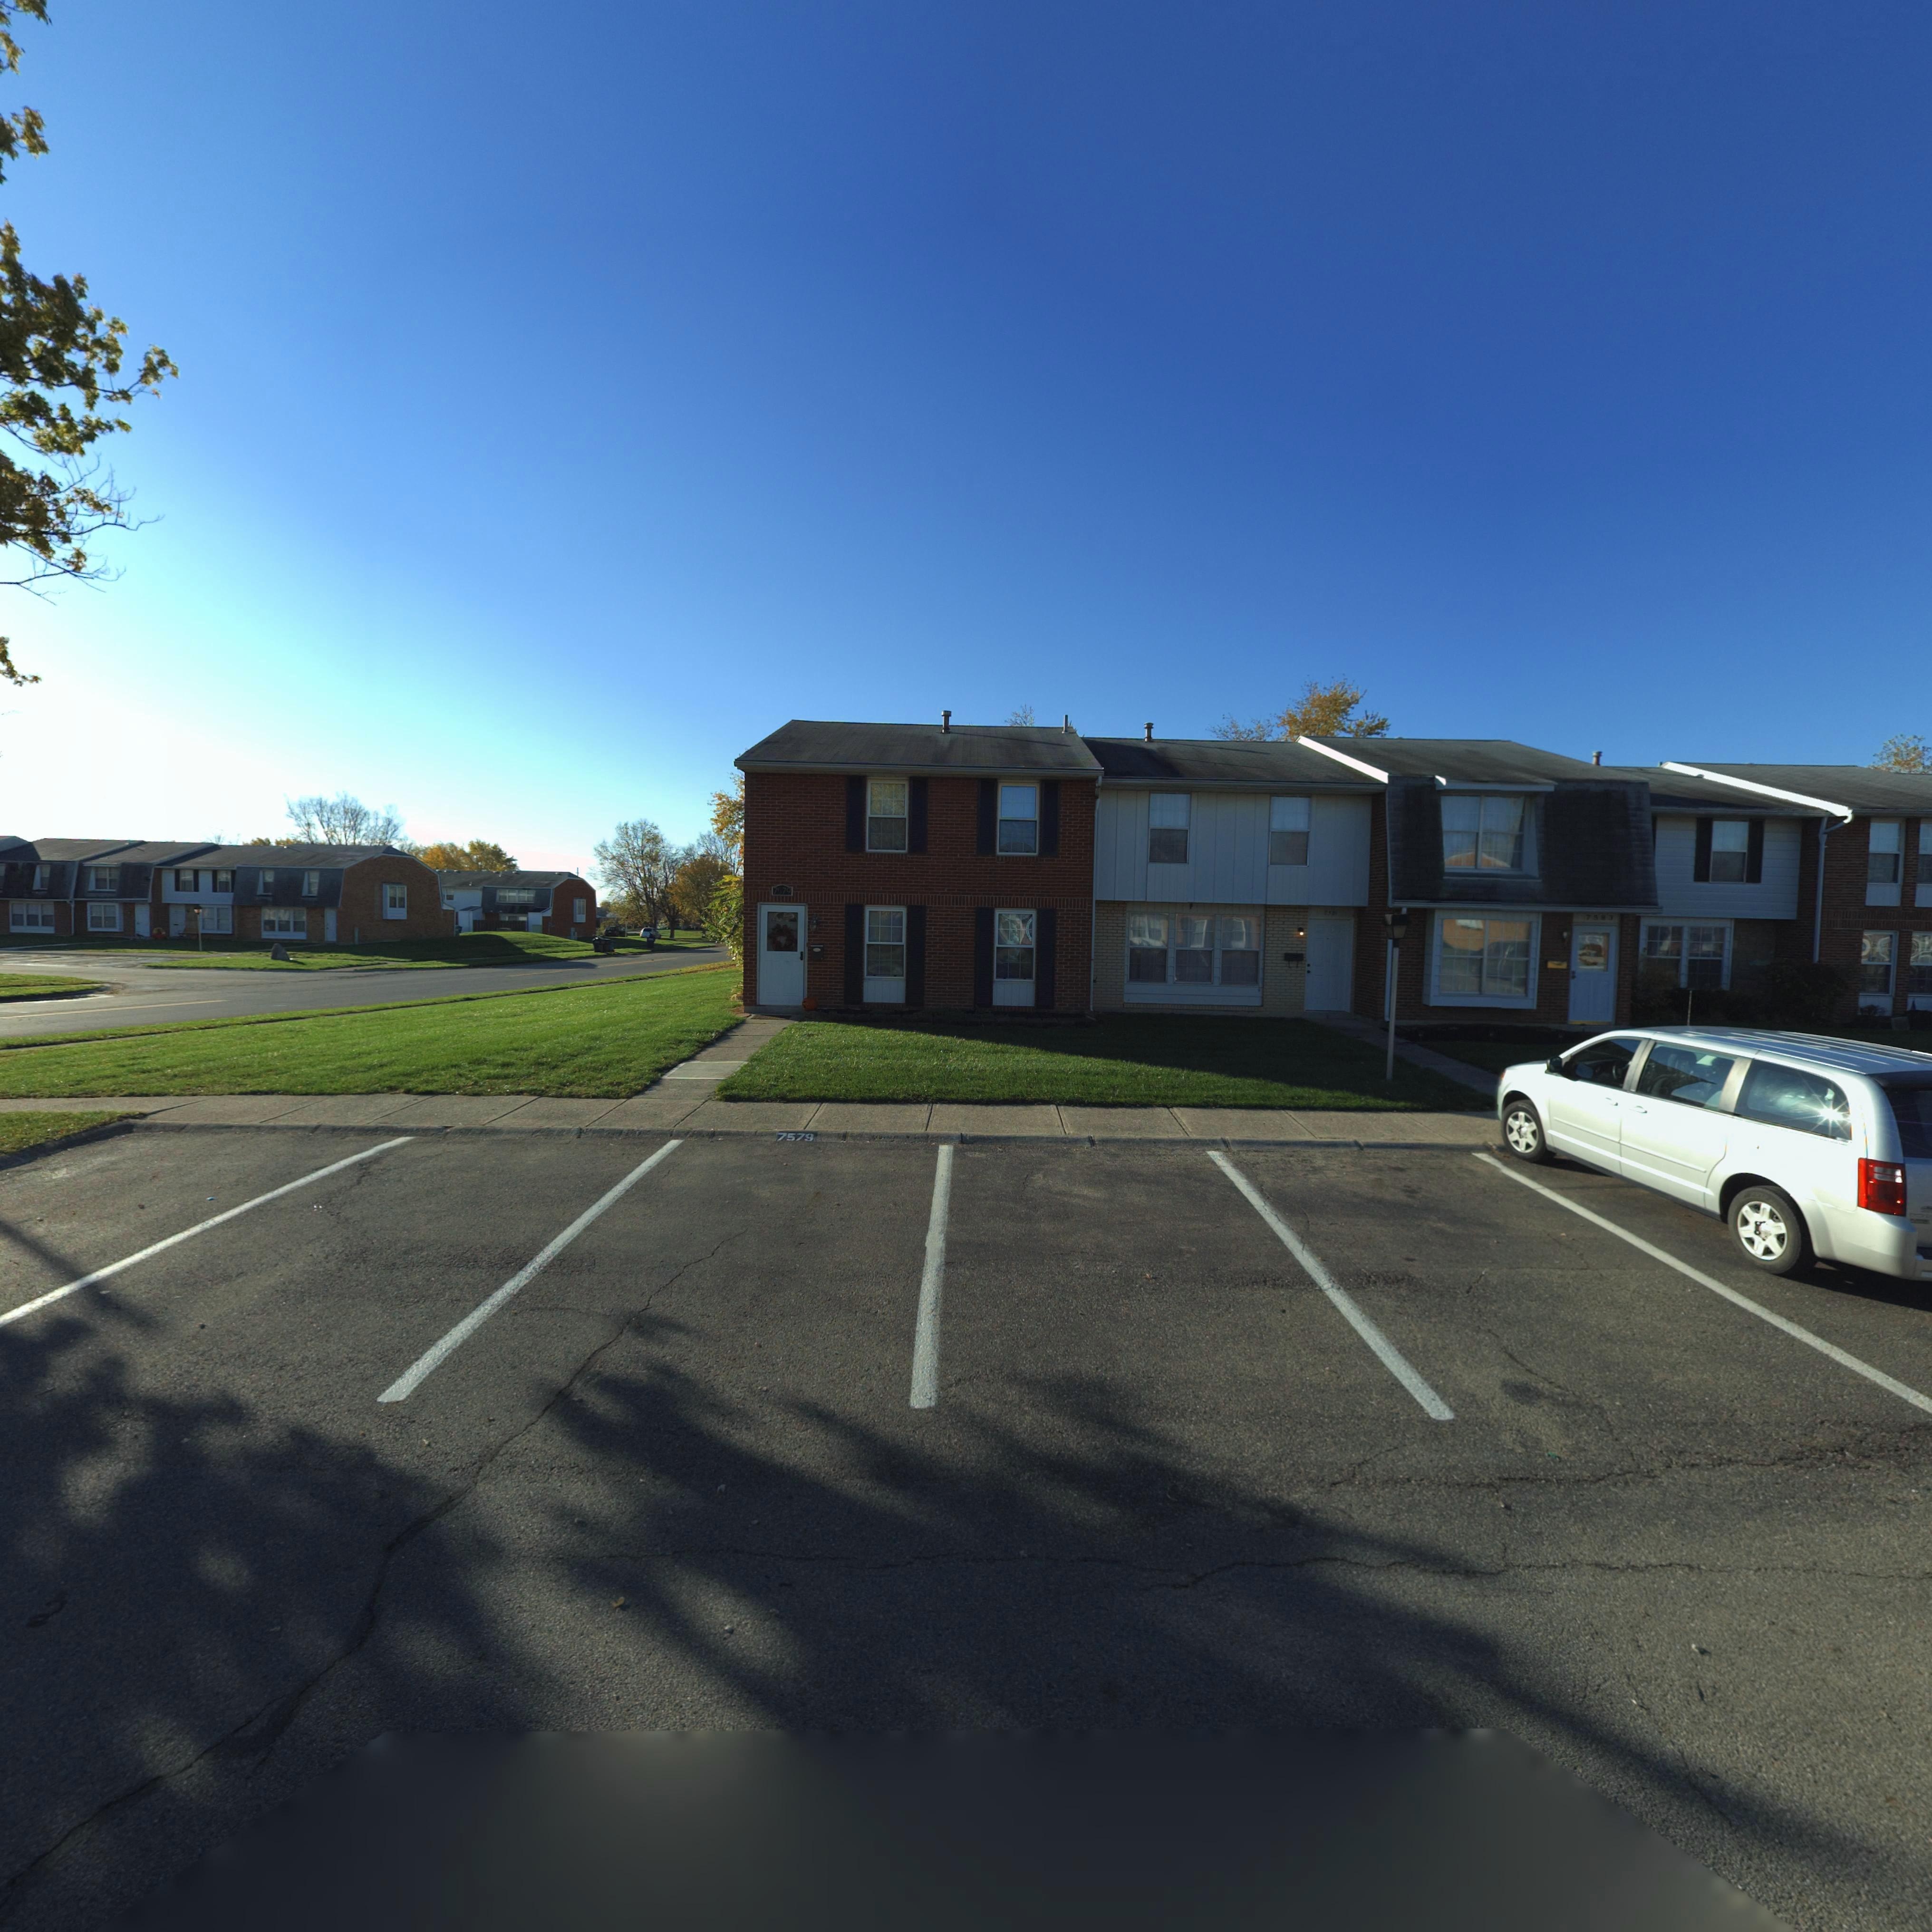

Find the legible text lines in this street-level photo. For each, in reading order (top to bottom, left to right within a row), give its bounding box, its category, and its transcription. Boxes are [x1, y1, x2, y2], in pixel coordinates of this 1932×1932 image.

[773, 887, 792, 895] StreetNumber: 7579
[1323, 910, 1339, 916] StreetNumber: 75*1
[1585, 913, 1613, 921] StreetNumber: 7583
[776, 1132, 814, 1141] StreetNumber: 7579